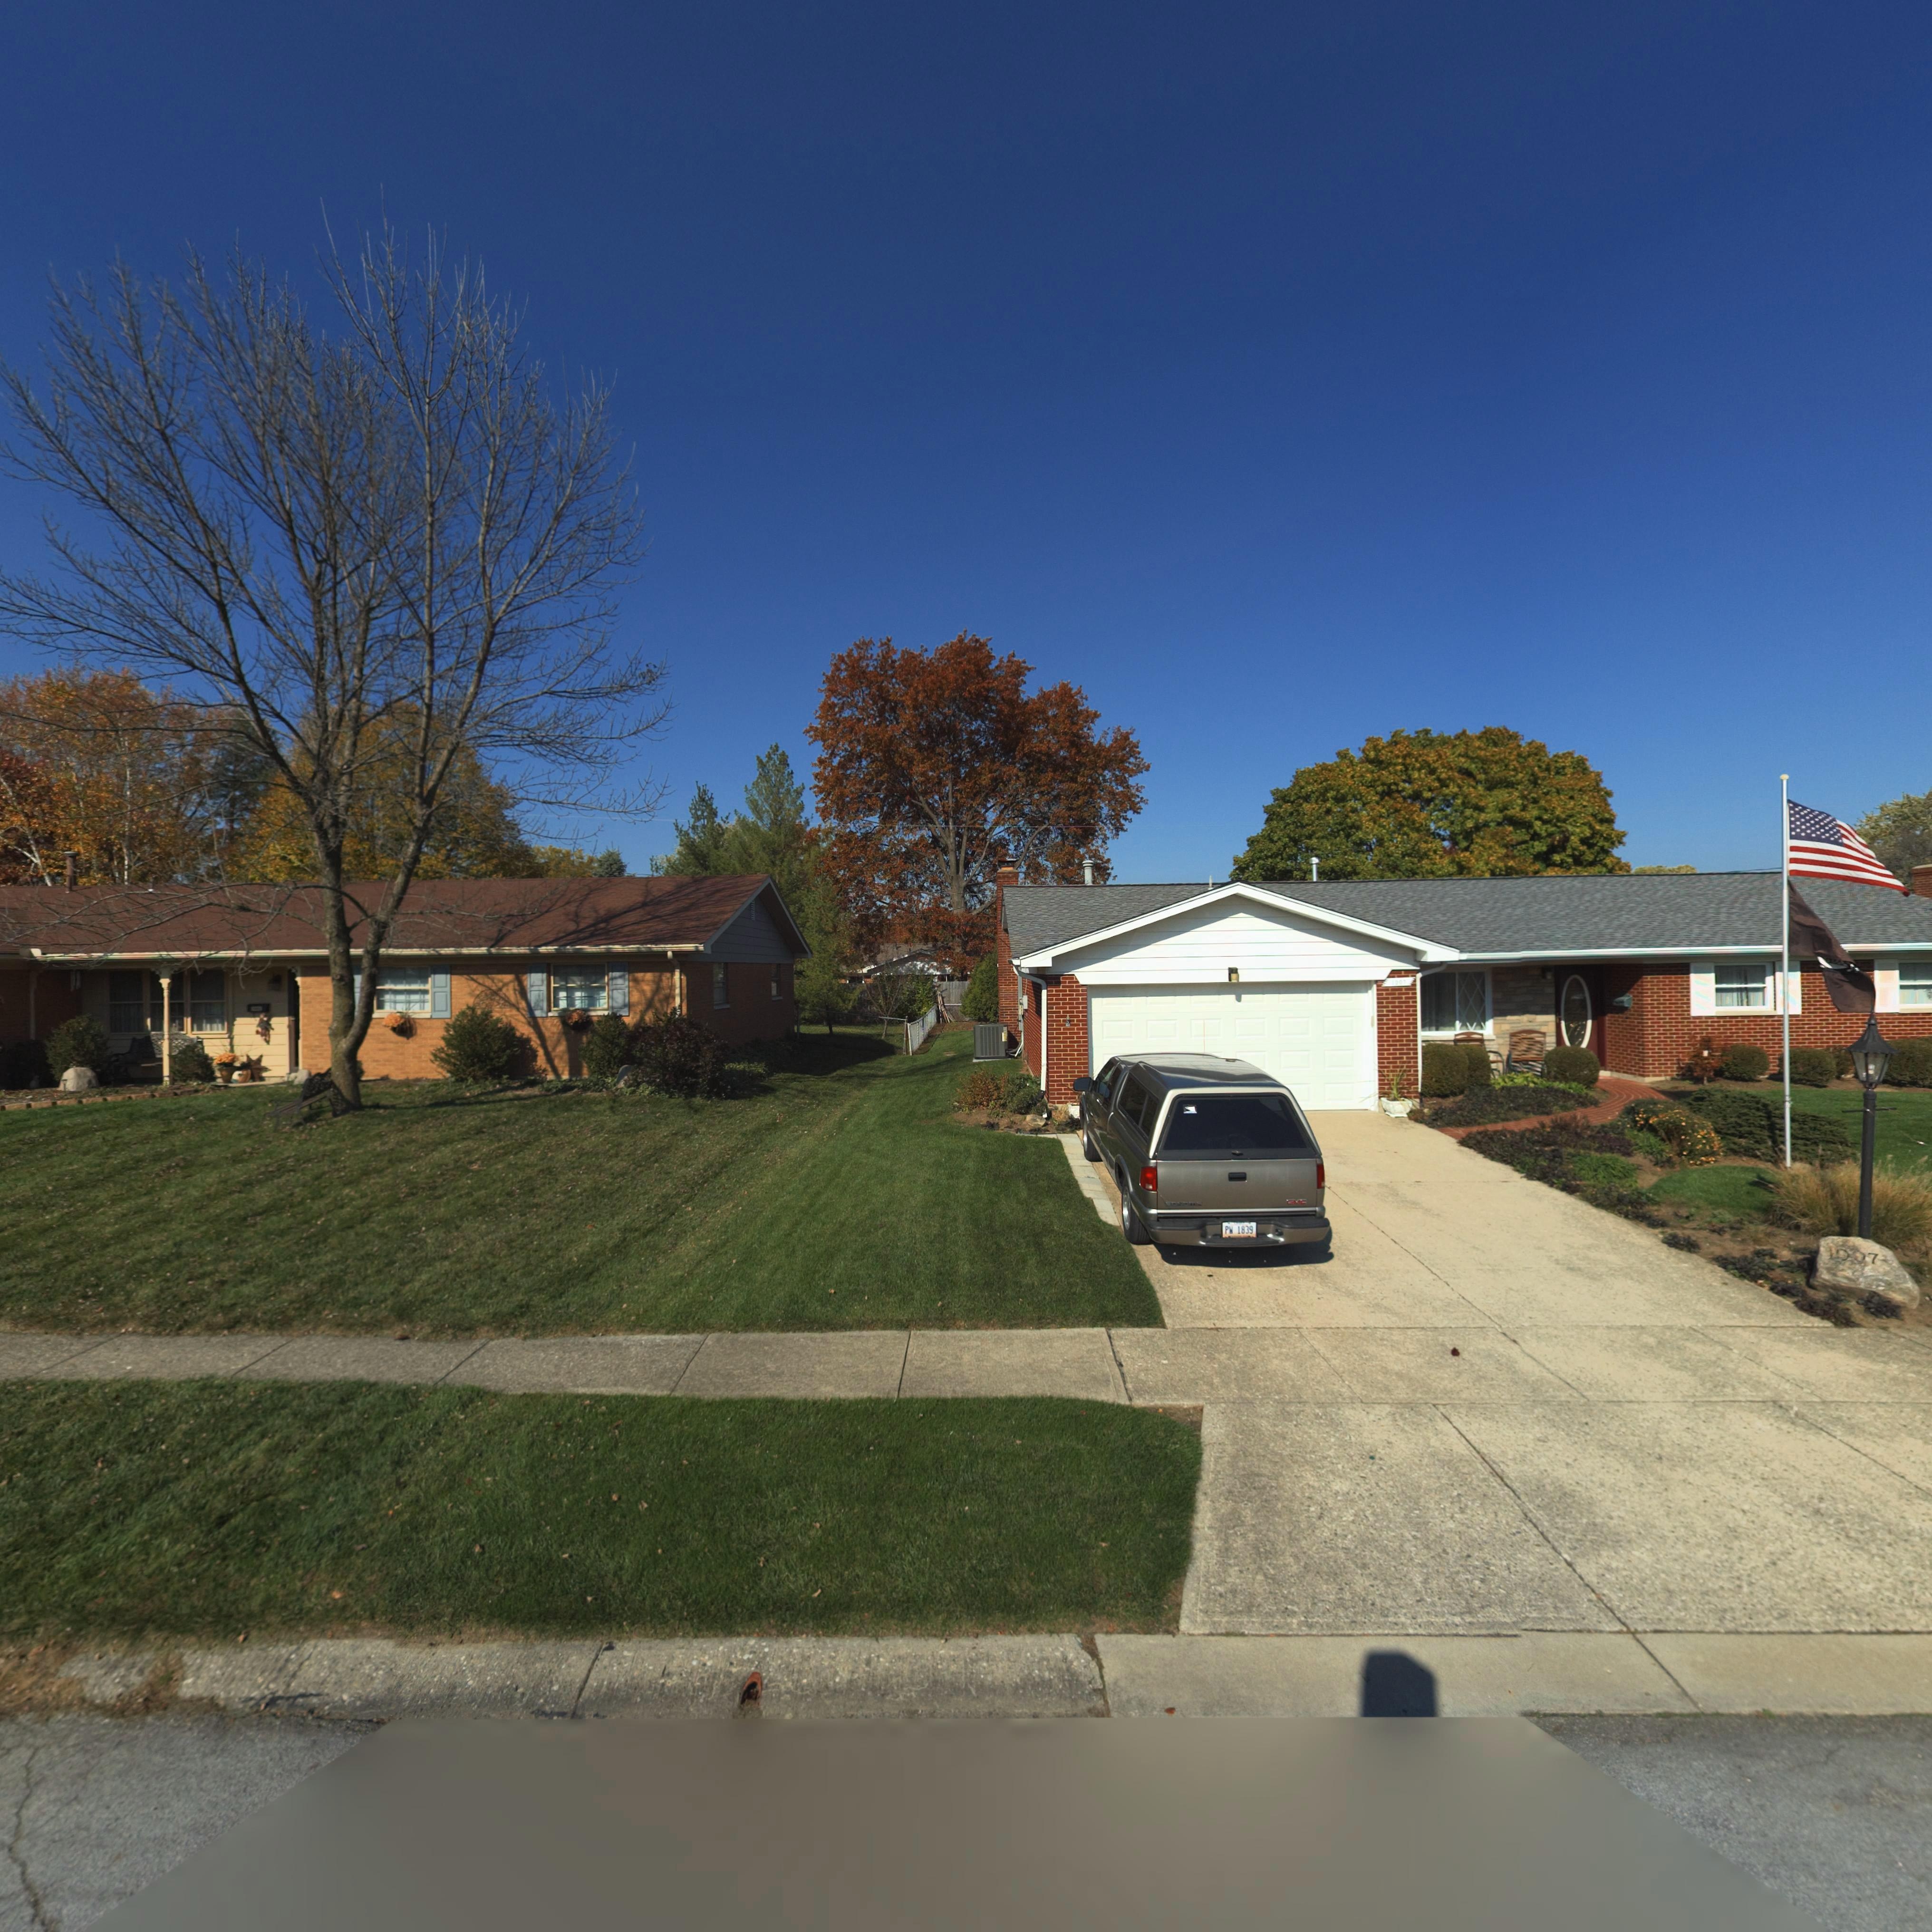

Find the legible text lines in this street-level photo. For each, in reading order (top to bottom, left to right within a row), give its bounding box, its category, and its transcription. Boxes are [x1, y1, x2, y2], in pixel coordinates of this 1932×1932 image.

[1391, 979, 1407, 986] StreetNumber: 1007
[1827, 1246, 1880, 1265] StreetNumber: 1007